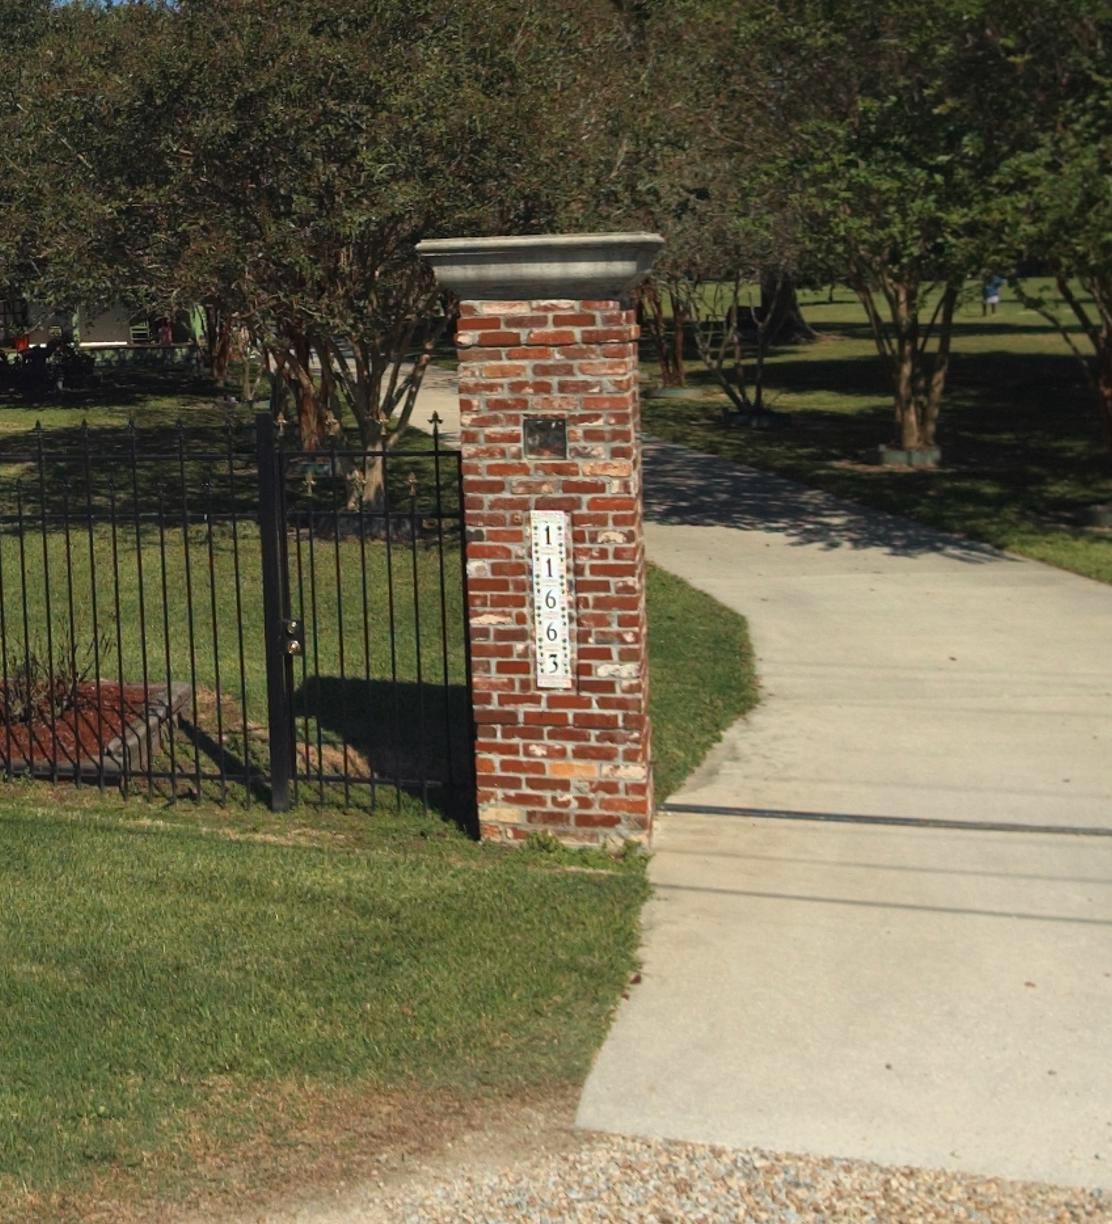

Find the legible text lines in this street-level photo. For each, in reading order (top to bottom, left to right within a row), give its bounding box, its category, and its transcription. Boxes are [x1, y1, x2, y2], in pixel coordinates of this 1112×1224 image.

[540, 523, 560, 675] StreetNumber: 11663